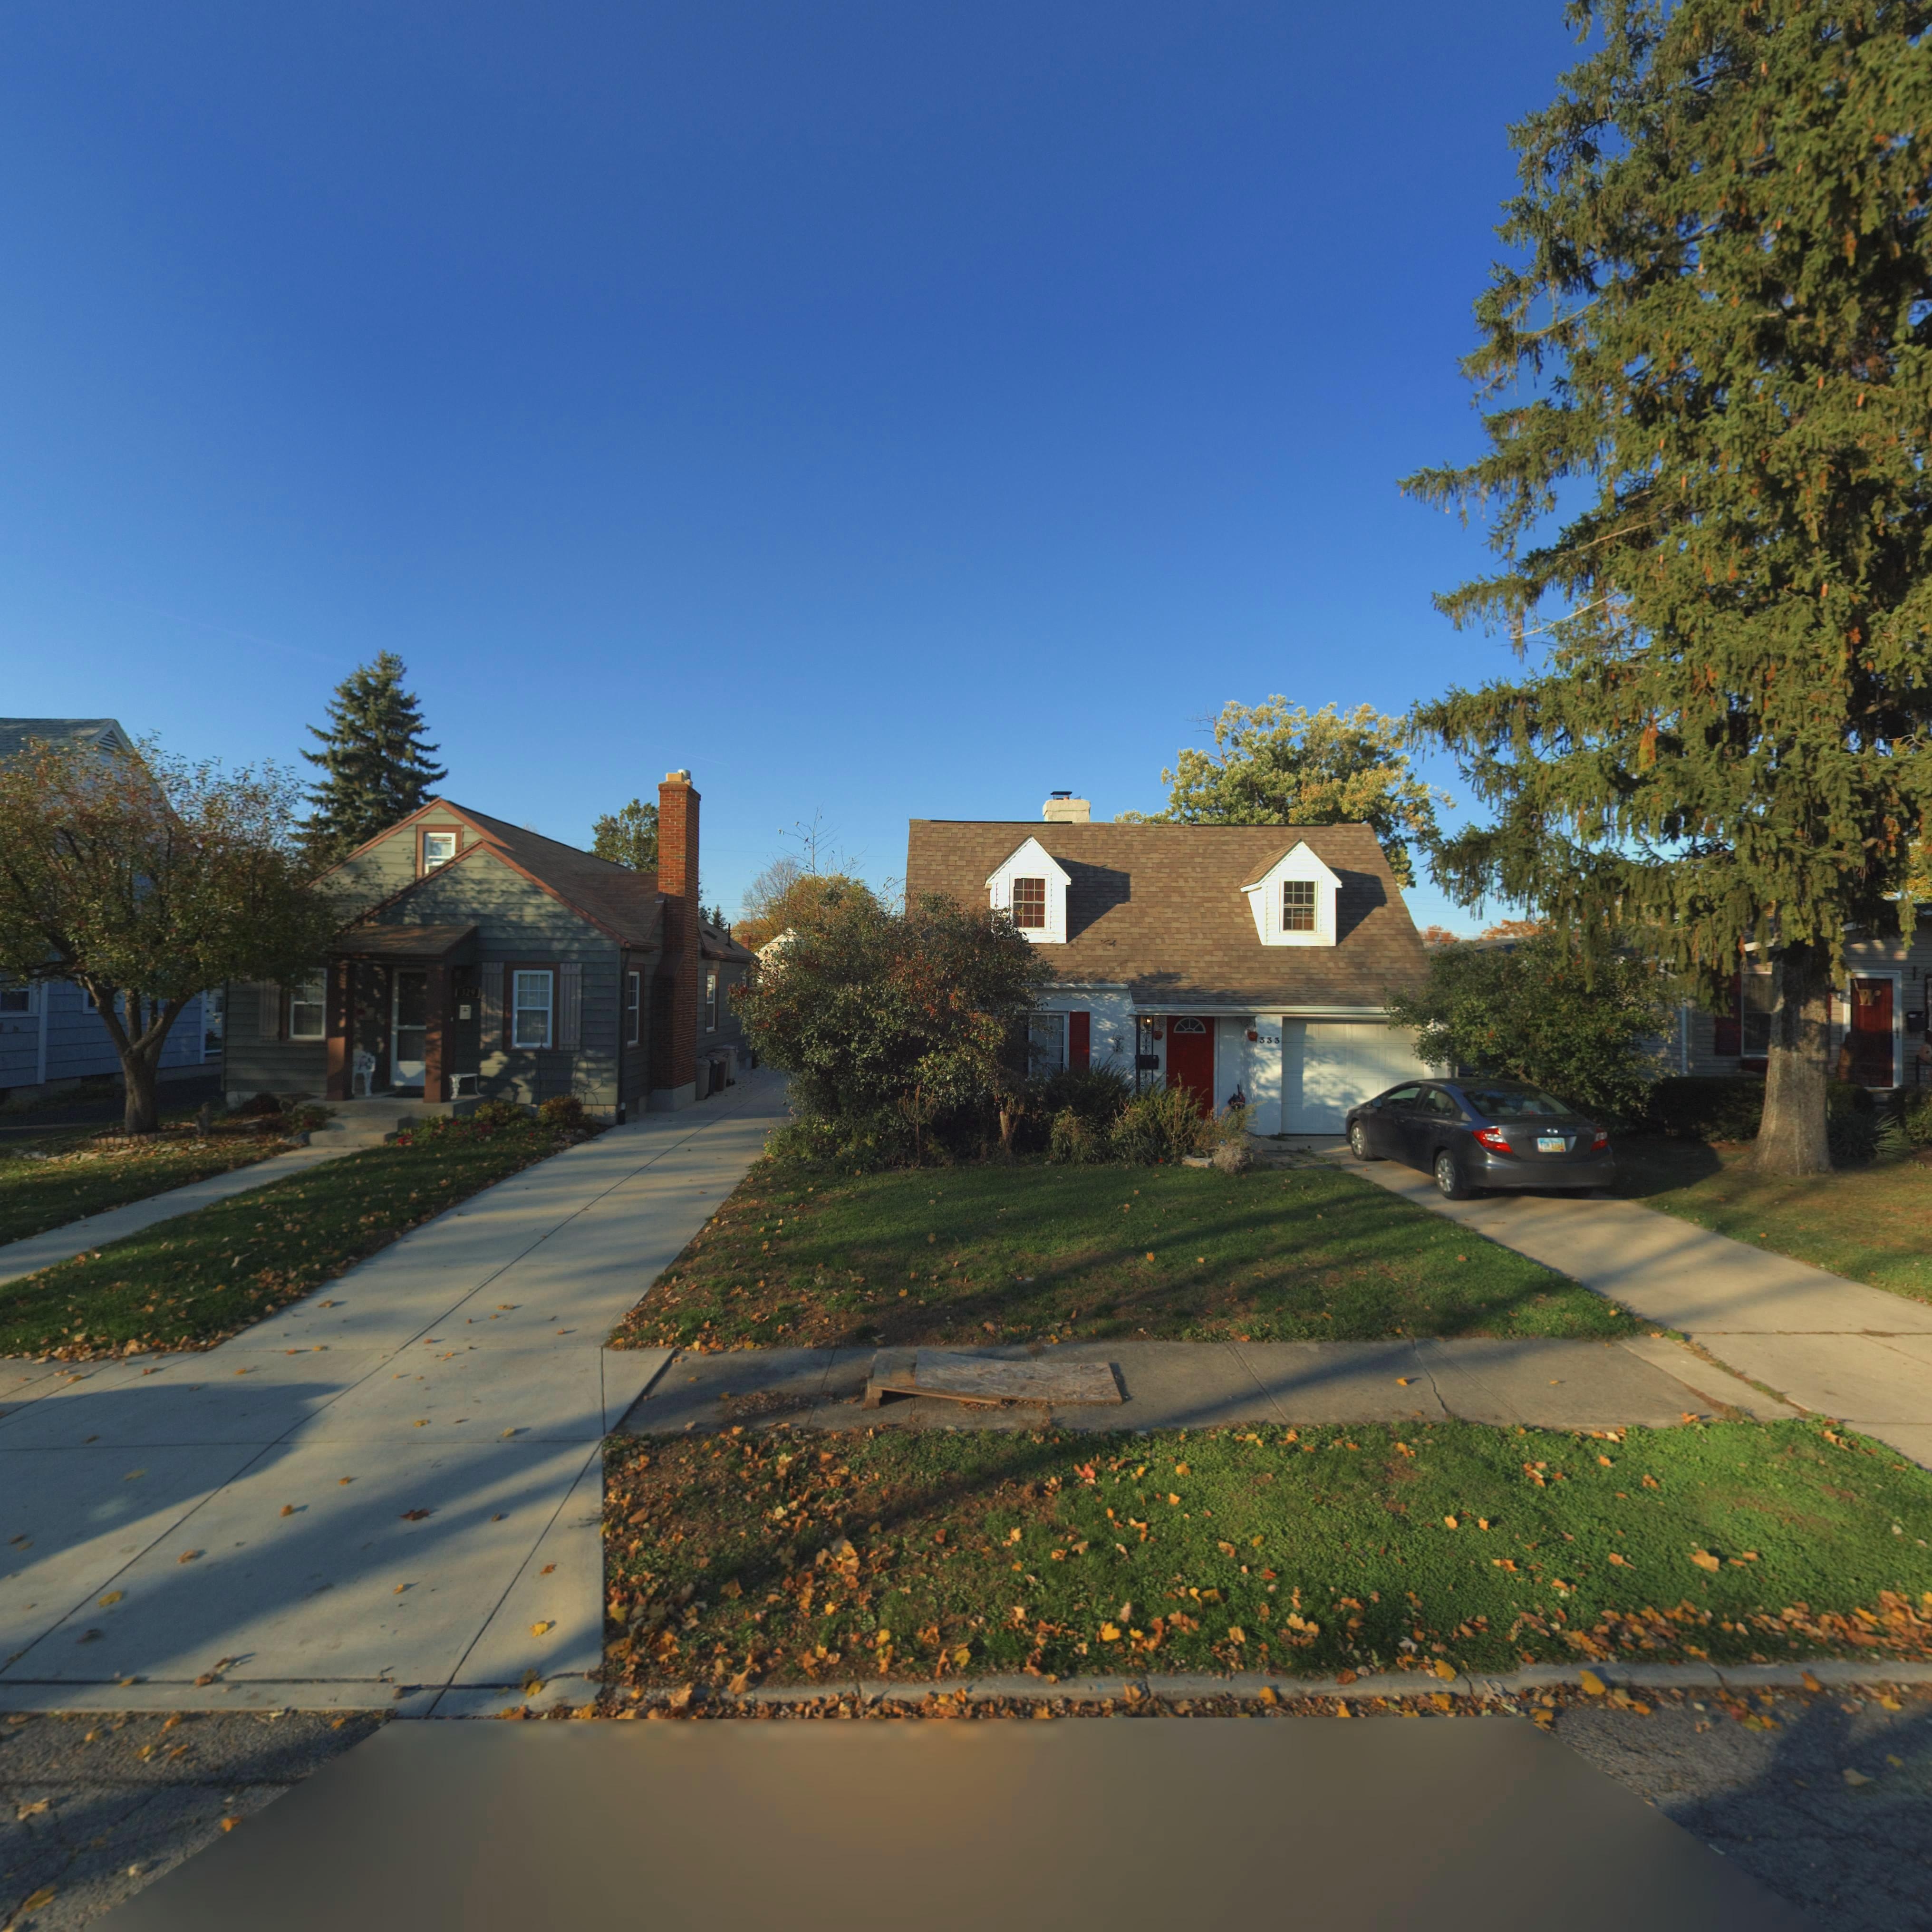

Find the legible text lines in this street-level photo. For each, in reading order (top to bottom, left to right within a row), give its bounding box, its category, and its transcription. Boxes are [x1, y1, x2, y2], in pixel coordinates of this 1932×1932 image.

[461, 988, 476, 997] StreetNumber: 329
[1259, 1036, 1280, 1044] StreetNumber: 333